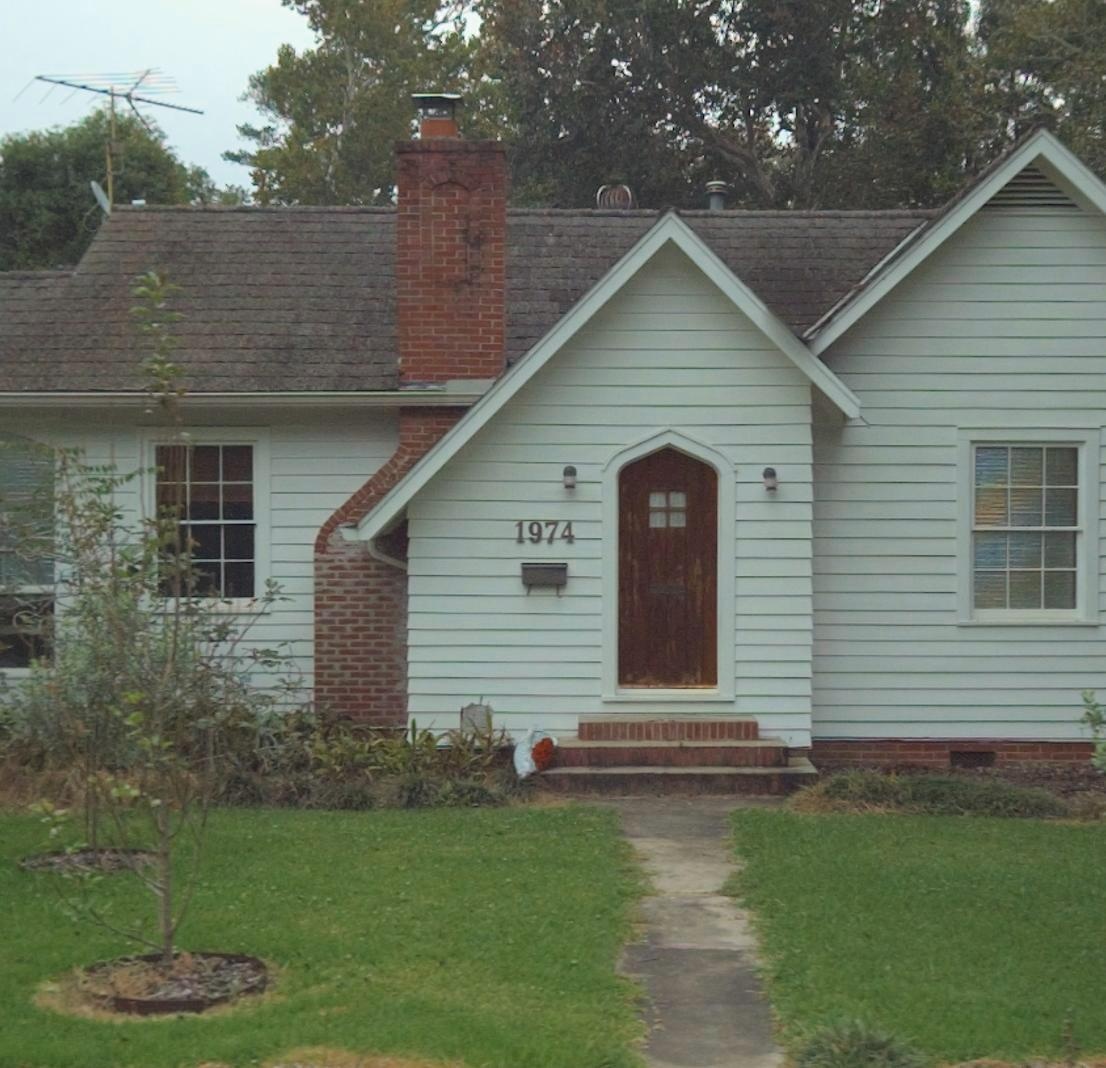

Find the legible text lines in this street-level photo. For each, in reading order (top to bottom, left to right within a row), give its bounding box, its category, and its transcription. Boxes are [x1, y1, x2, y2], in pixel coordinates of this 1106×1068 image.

[514, 520, 576, 545] StreetNumber: 1974